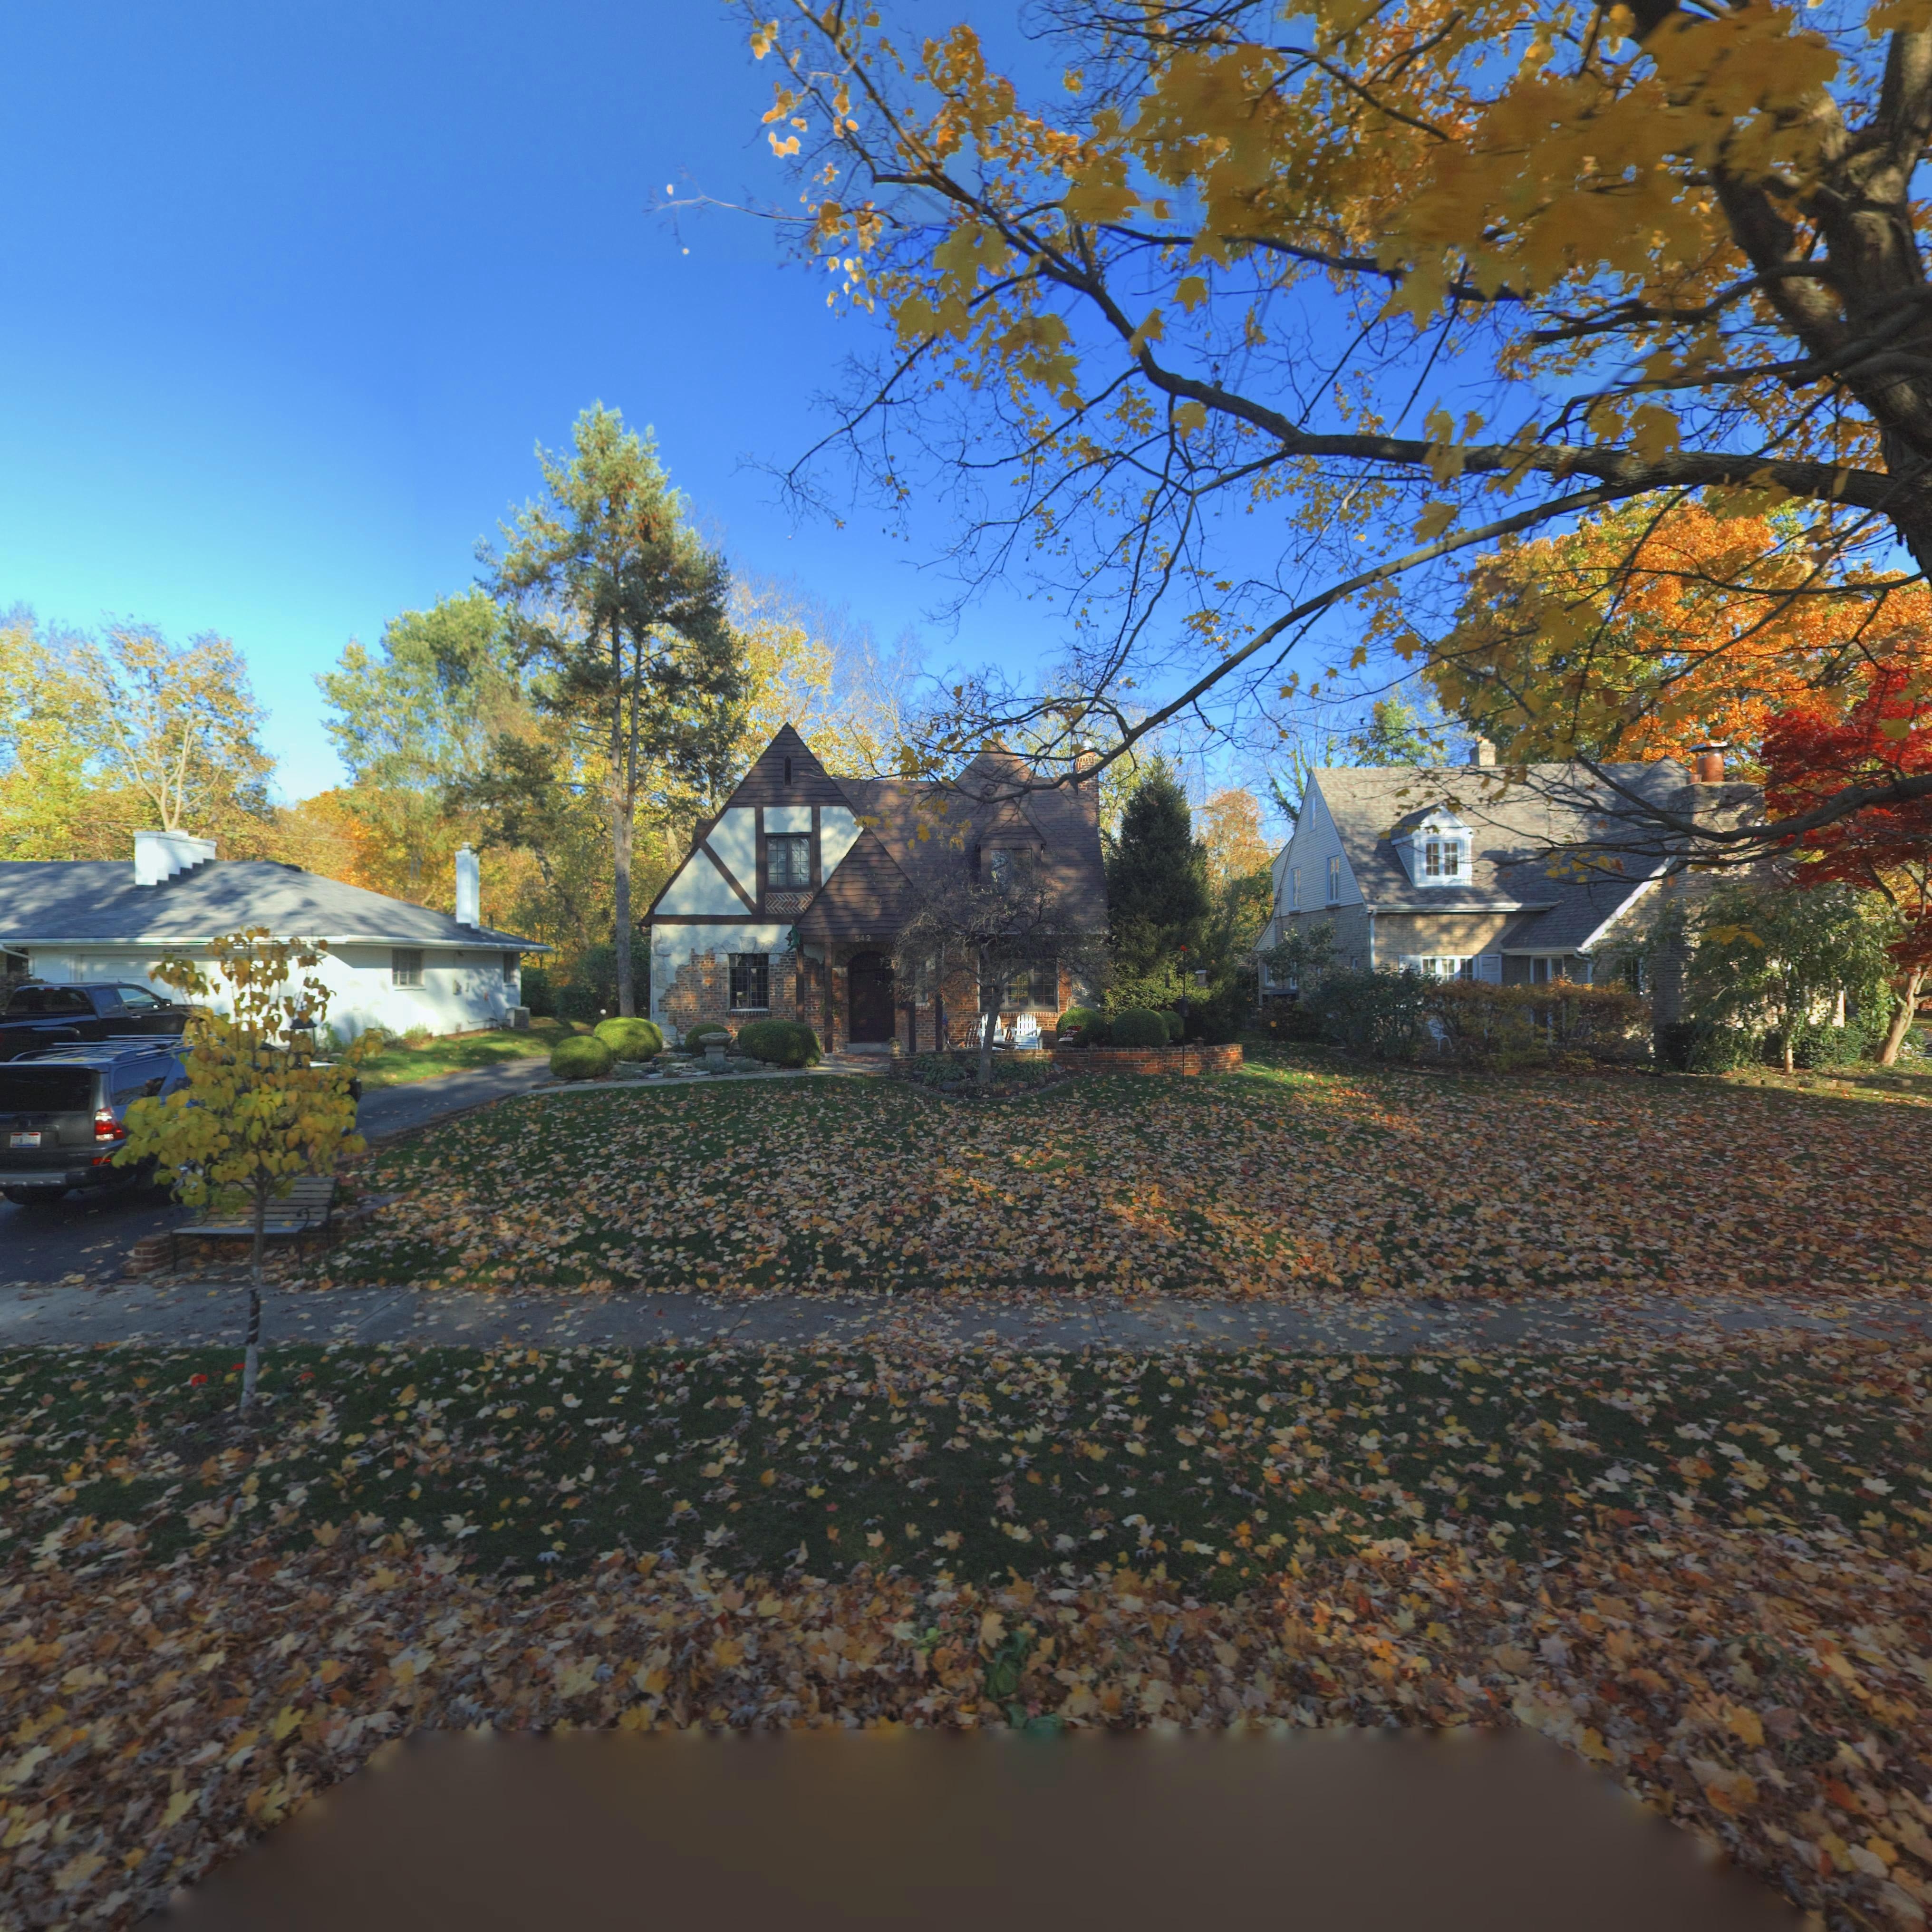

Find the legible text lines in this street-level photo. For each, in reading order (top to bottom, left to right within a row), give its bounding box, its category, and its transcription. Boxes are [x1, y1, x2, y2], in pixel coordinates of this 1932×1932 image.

[854, 934, 871, 942] StreetNumber: 542